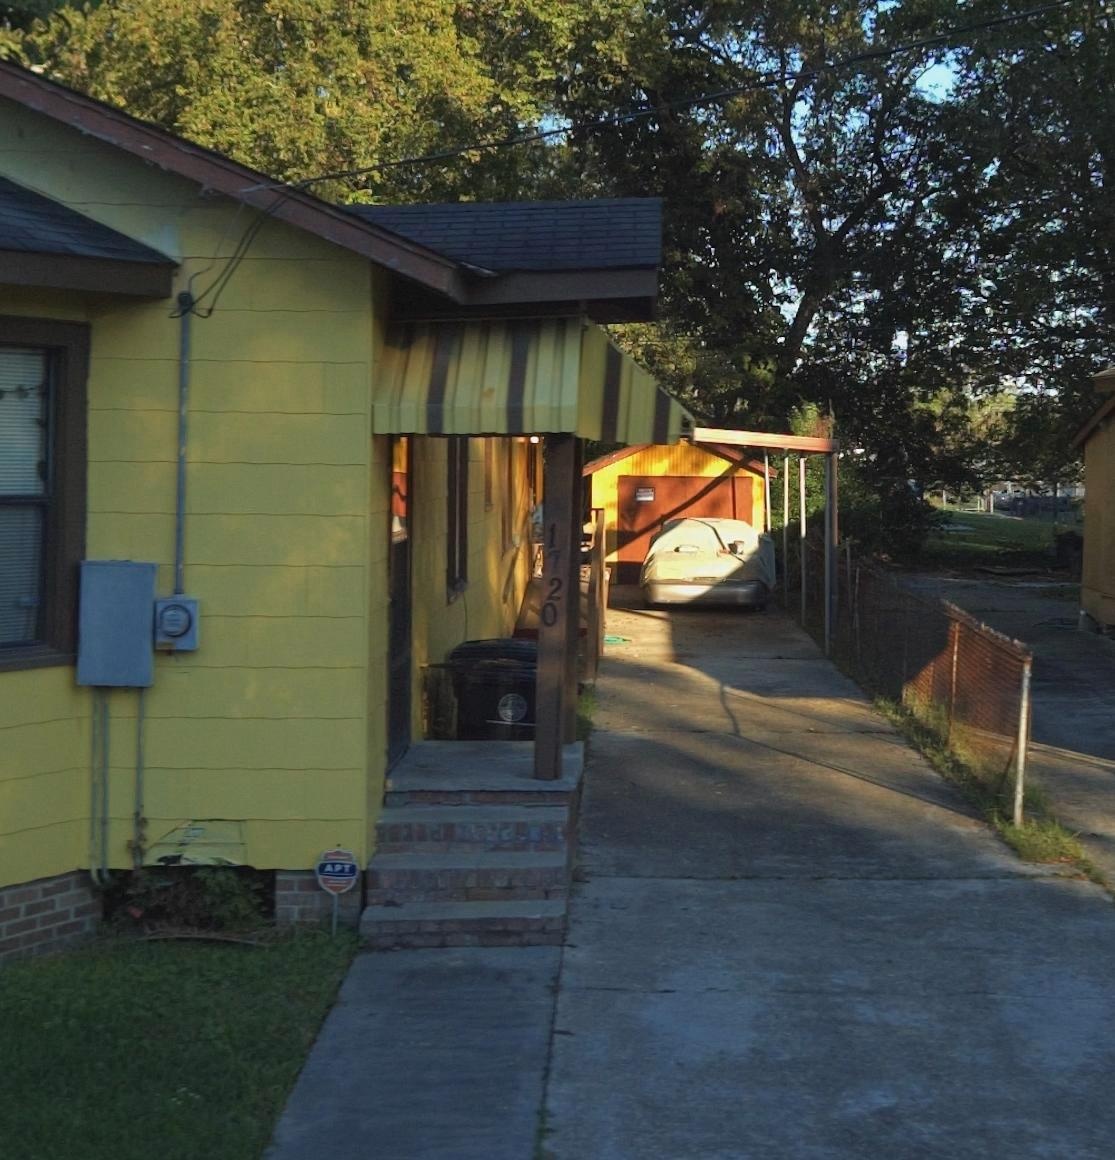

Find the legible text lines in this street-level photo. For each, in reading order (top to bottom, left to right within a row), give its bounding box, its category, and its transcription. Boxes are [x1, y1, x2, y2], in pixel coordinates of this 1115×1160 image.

[539, 521, 565, 629] StreetNumber: 1720
[322, 862, 353, 874] None: APT